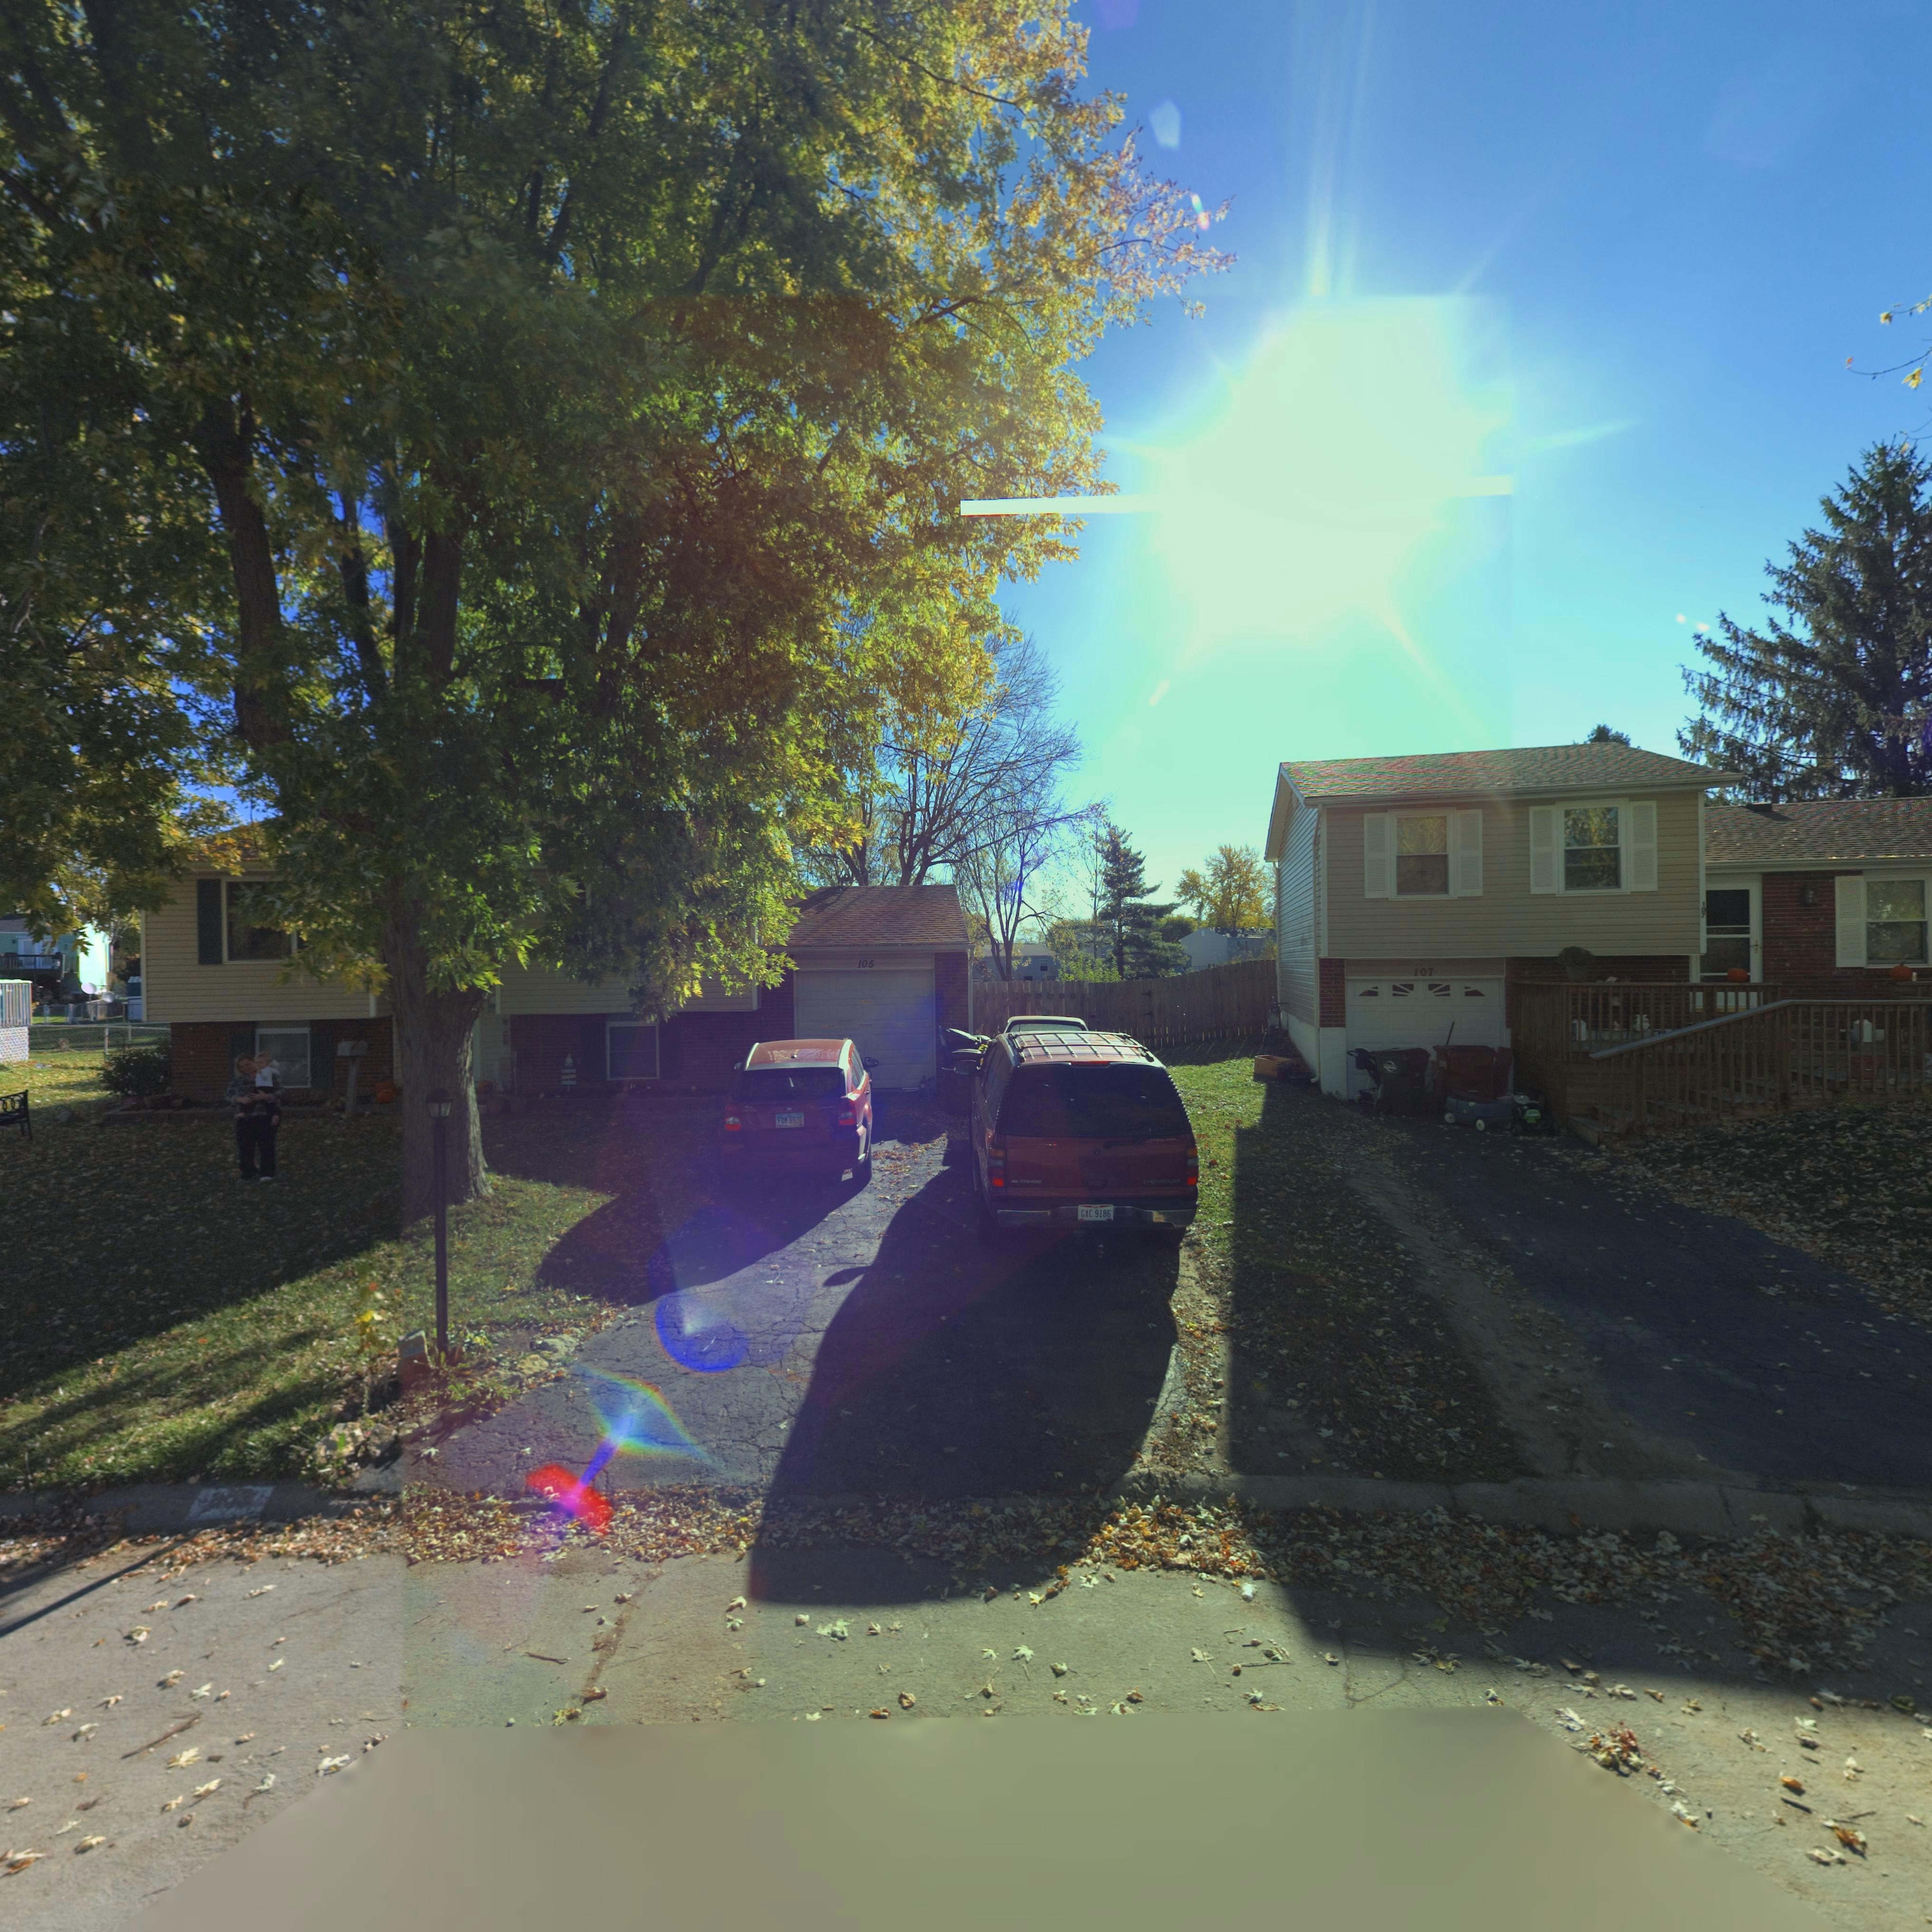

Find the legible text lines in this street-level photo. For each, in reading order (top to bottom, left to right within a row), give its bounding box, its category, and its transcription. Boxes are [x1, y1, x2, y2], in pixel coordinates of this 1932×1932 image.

[1700, 901, 1706, 918] StreetNumber: 107
[858, 959, 875, 968] StreetNumber: 105
[1414, 967, 1435, 977] StreetNumber: 107